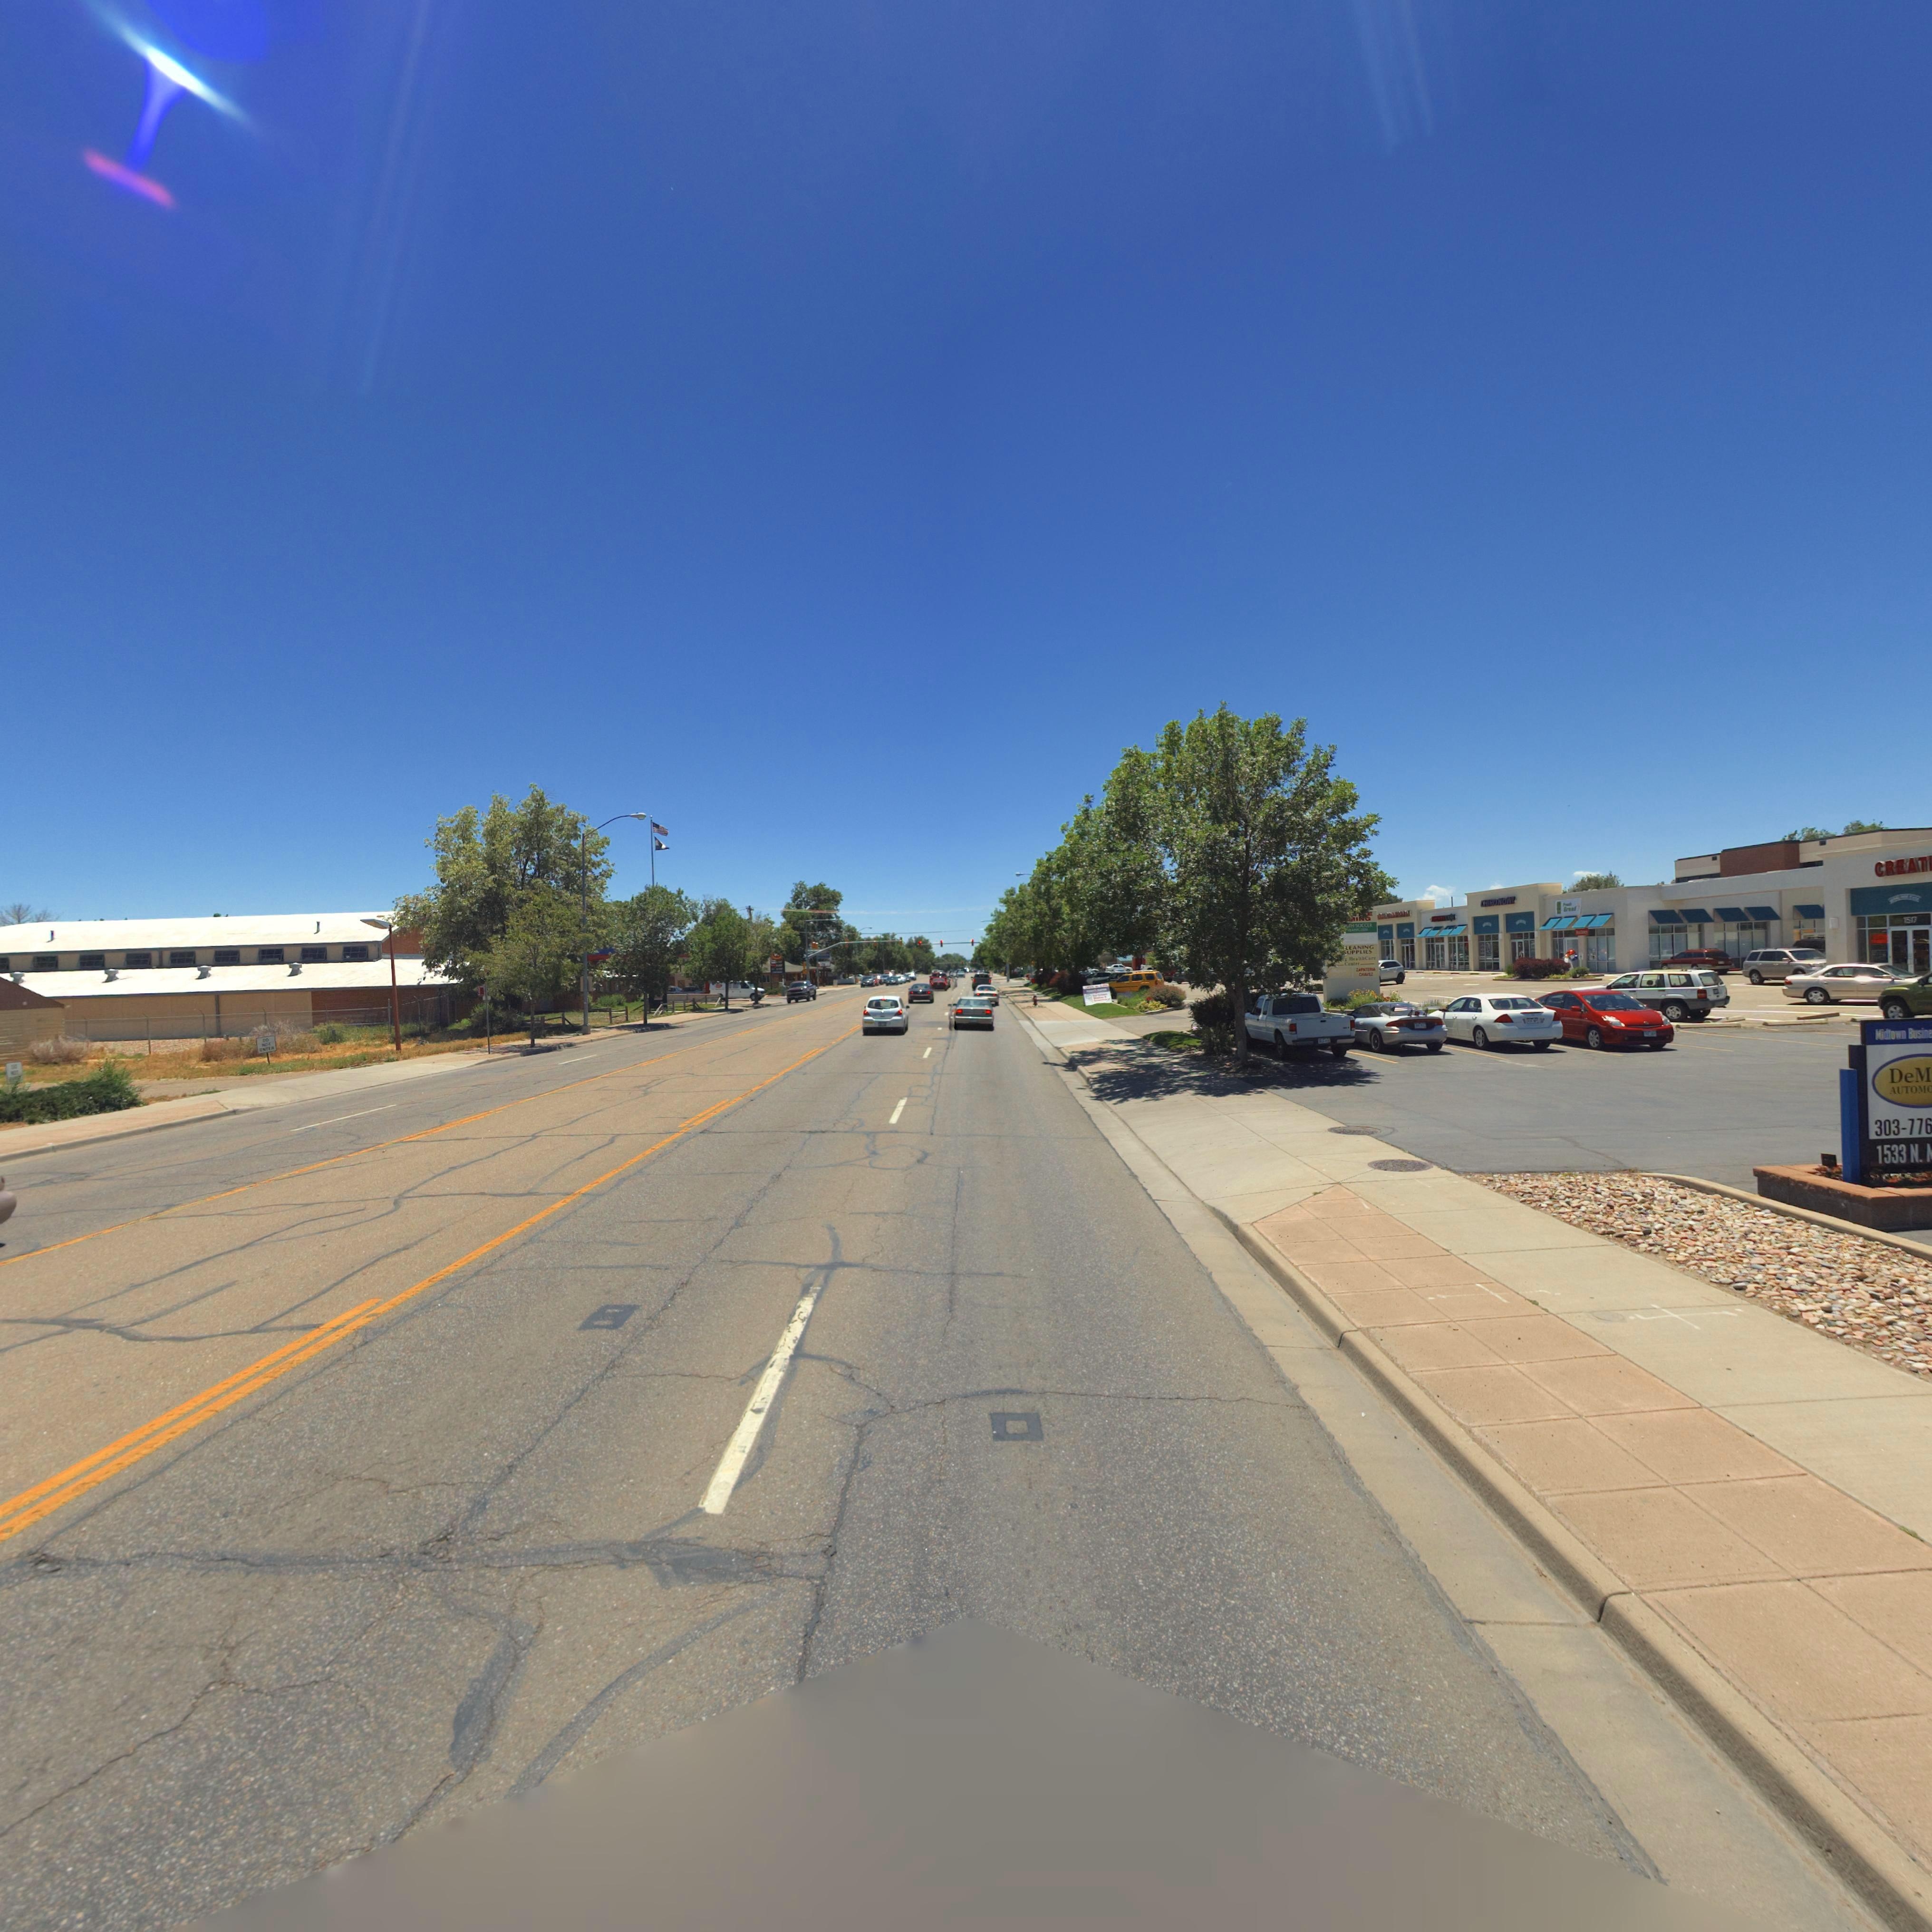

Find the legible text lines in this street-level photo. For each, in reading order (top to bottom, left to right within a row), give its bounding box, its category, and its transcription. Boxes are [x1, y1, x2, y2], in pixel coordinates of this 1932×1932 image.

[1874, 855, 1929, 878] BusinessName: CREAT
[1480, 896, 1515, 907] BusinessName: CHIRONOW!
[1343, 922, 1373, 928] BusinessName: *** SOCCER
[1903, 916, 1918, 924] StreetNumber: 1517
[1576, 930, 1587, 934] None: x*
[1359, 972, 1373, 976] BusinessName: O*****
[1356, 967, 1376, 972] BusinessName: ZA*ATE***
[1889, 1067, 1932, 1083] BusinessName: DeM
[1887, 1085, 1927, 1095] BusinessName: AUTOM
[1875, 1142, 1924, 1165] StreetName: 1533 N.